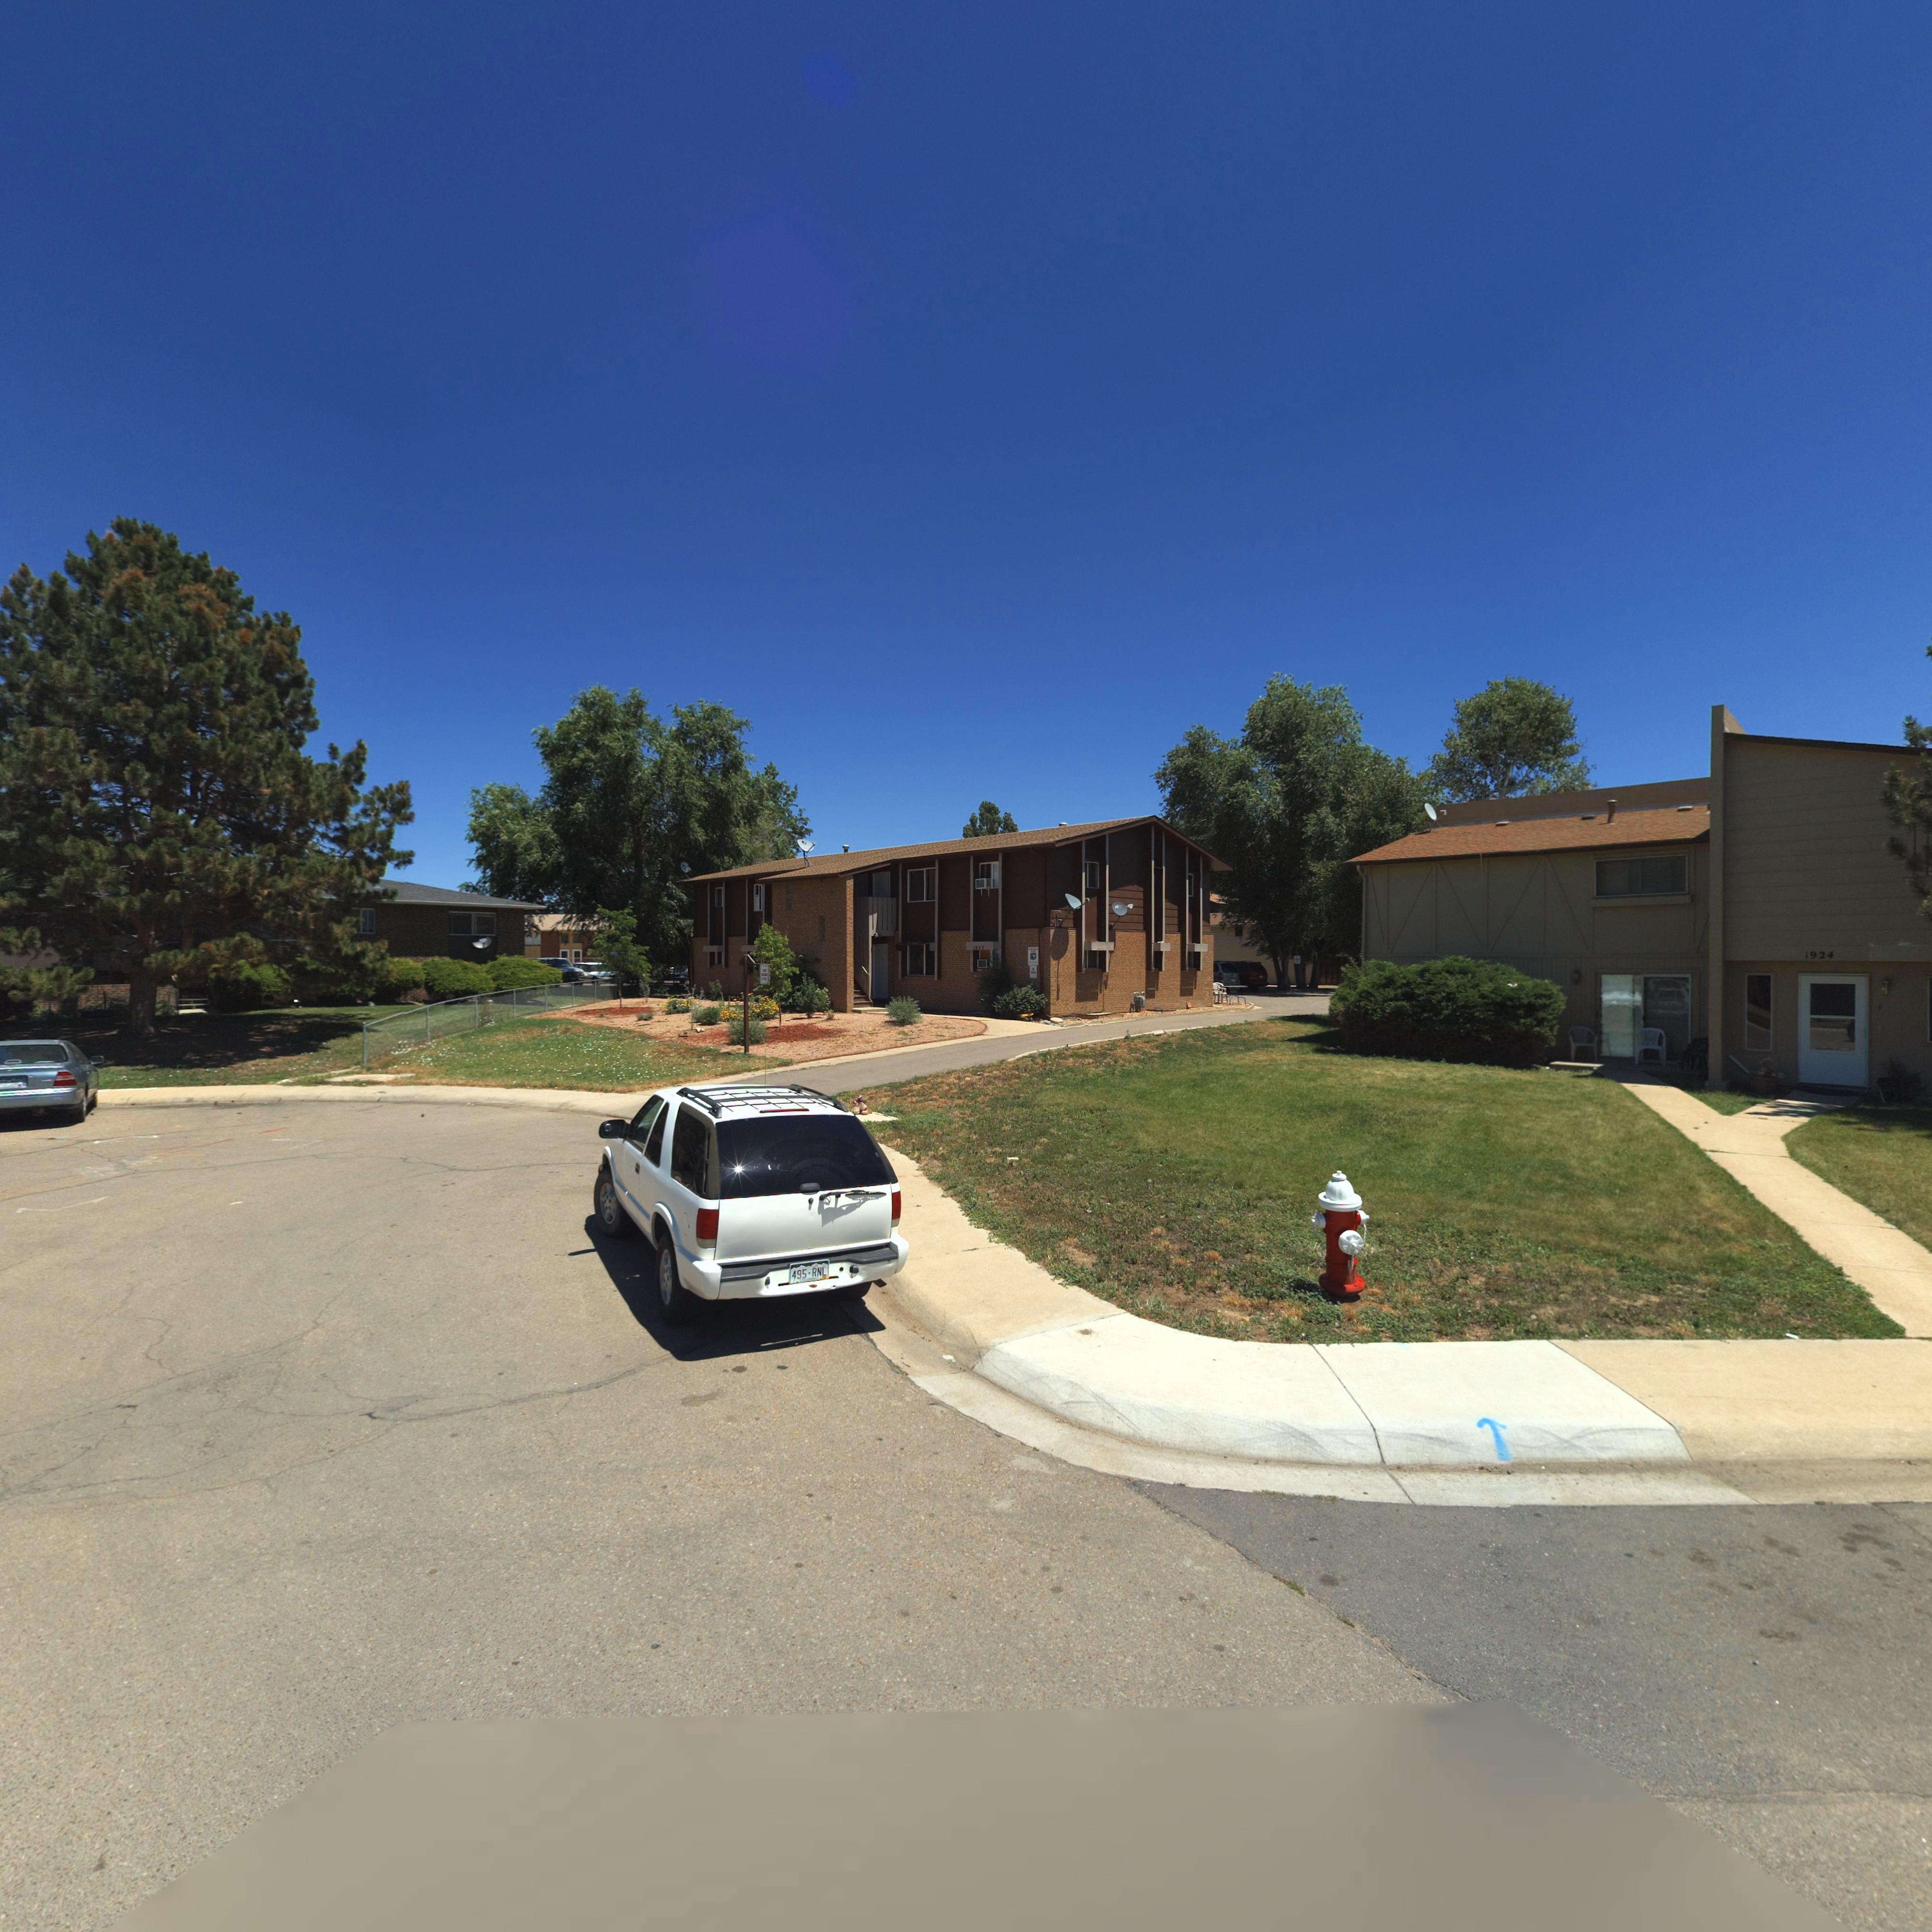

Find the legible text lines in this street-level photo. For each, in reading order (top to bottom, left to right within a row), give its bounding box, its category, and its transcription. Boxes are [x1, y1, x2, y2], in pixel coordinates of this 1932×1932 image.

[973, 945, 984, 950] StreetNumber: 1932
[1805, 950, 1834, 959] StreetNumber: 1924
[1878, 1003, 1881, 1009] StreetNumber: 1